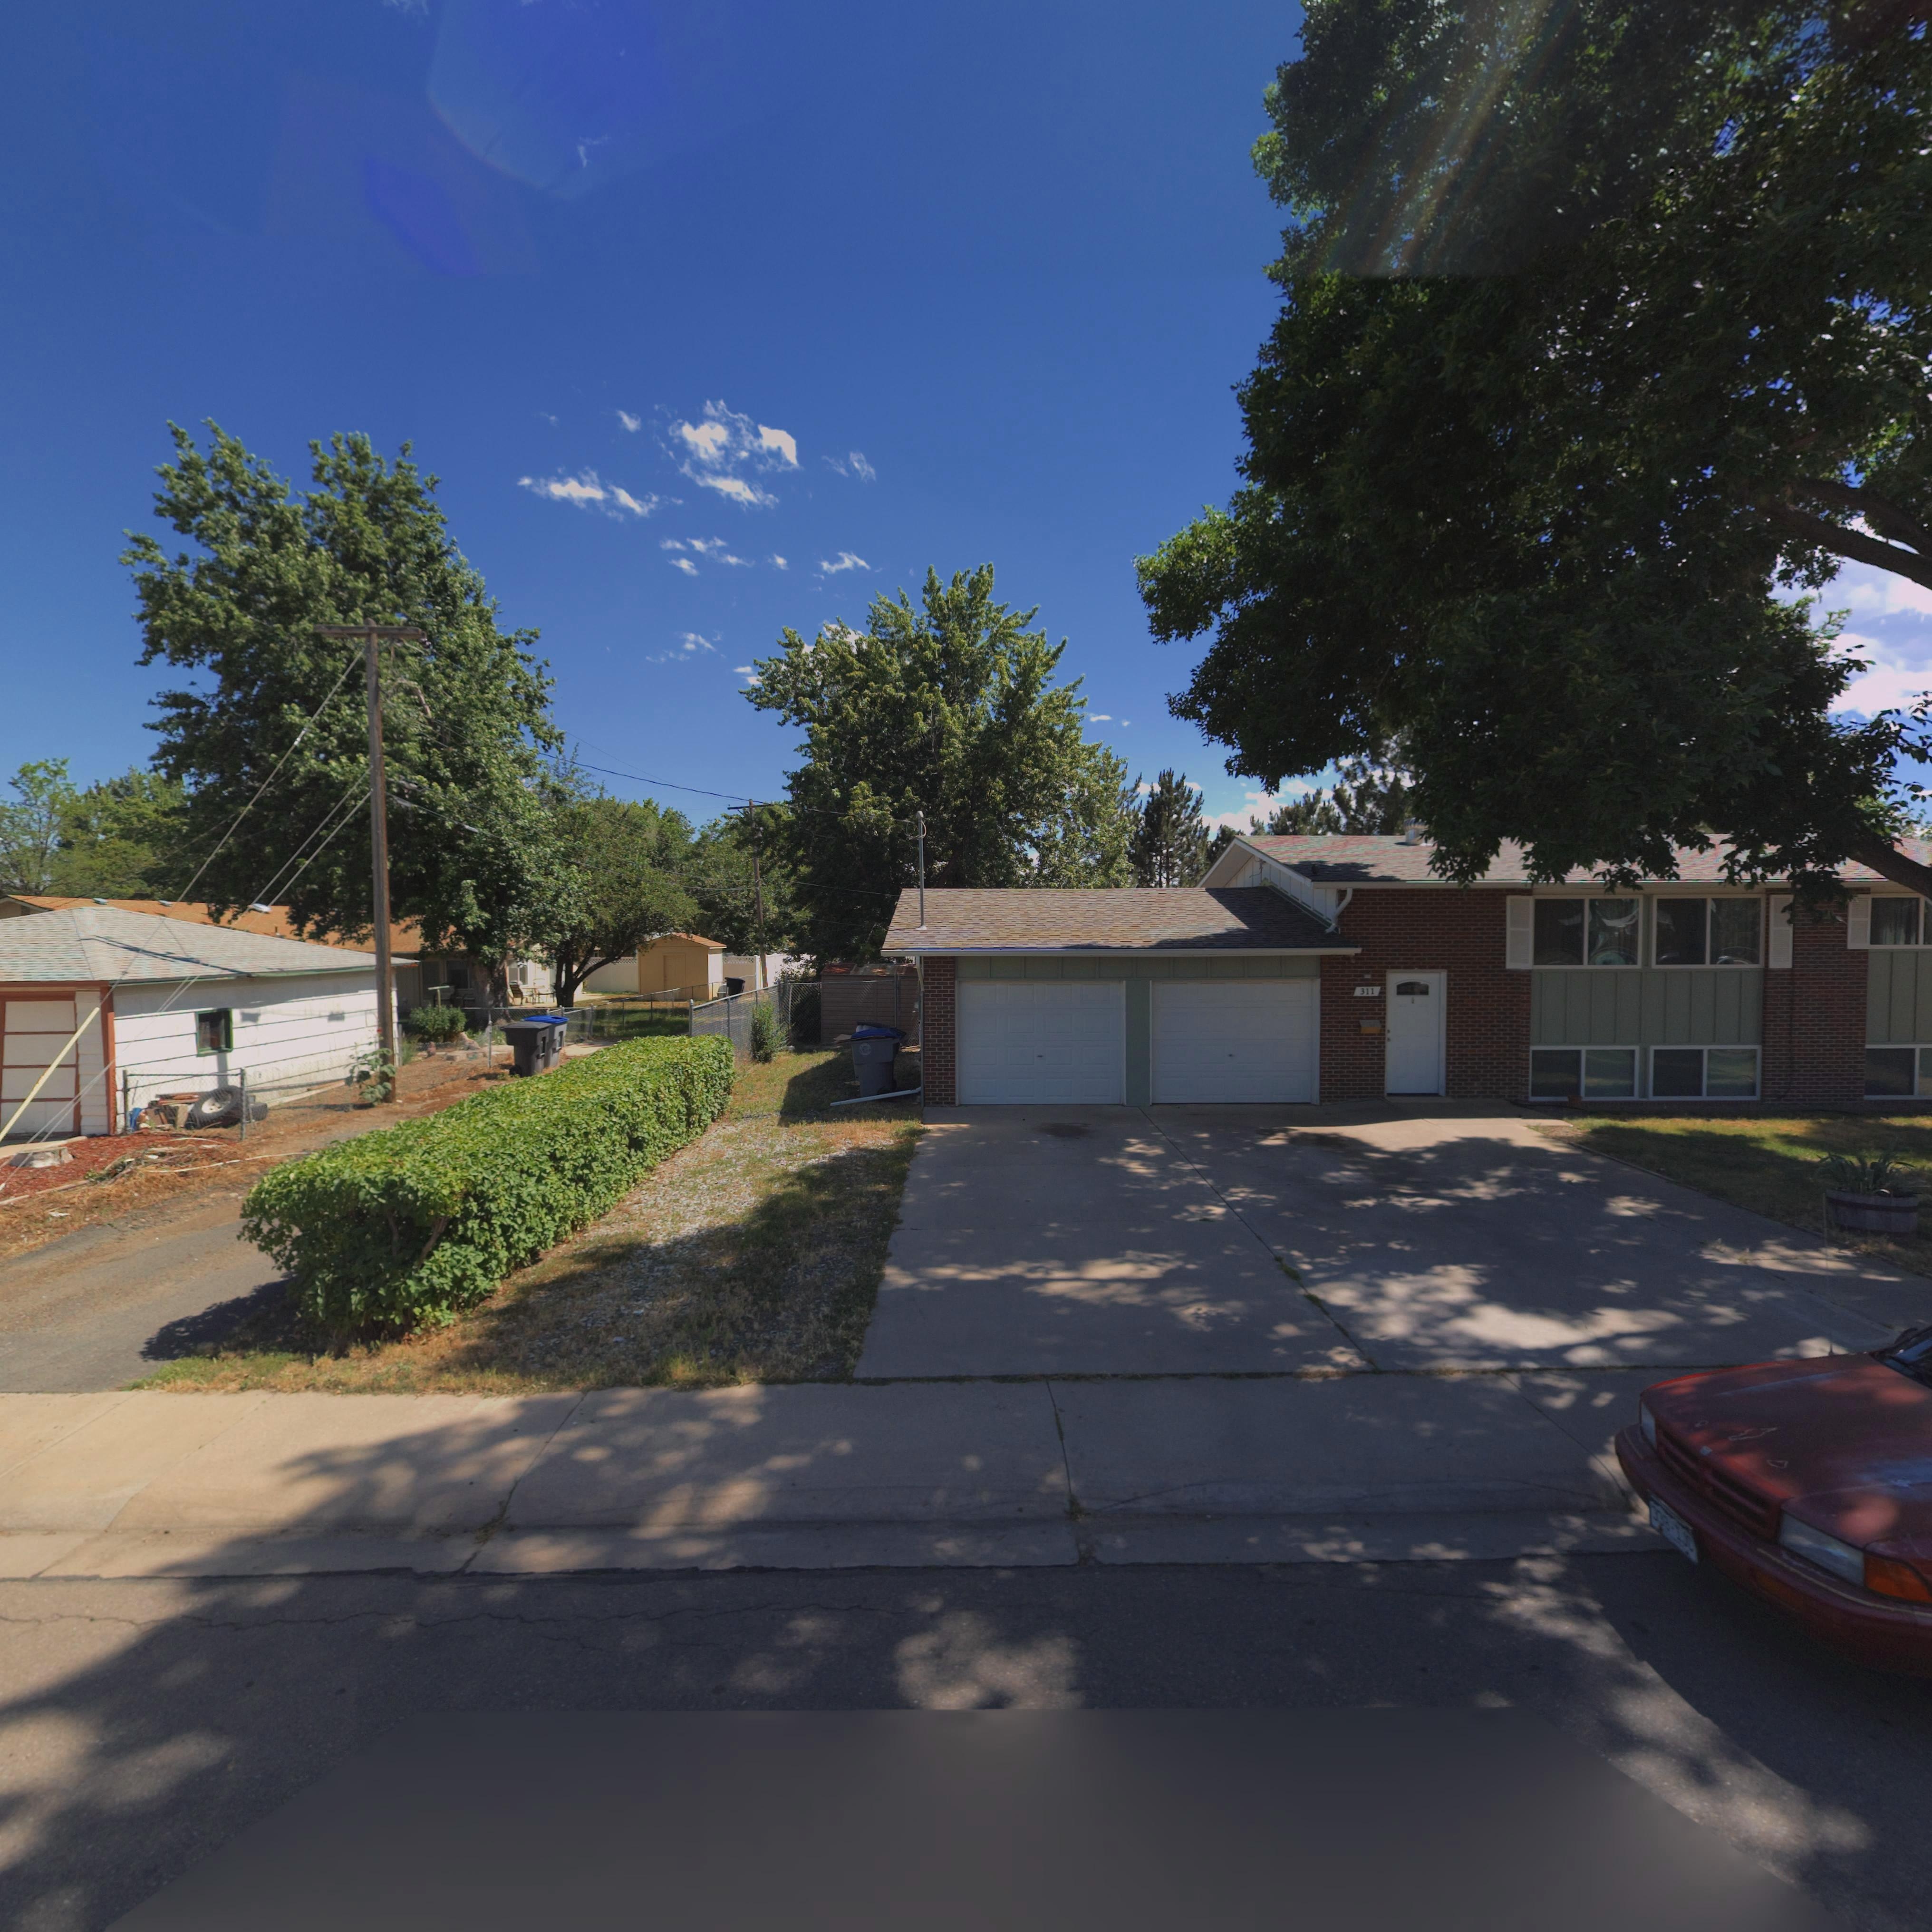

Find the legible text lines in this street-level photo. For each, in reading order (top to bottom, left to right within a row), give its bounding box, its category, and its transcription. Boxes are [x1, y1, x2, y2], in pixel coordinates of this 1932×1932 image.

[1360, 987, 1373, 995] StreetNumber: 311